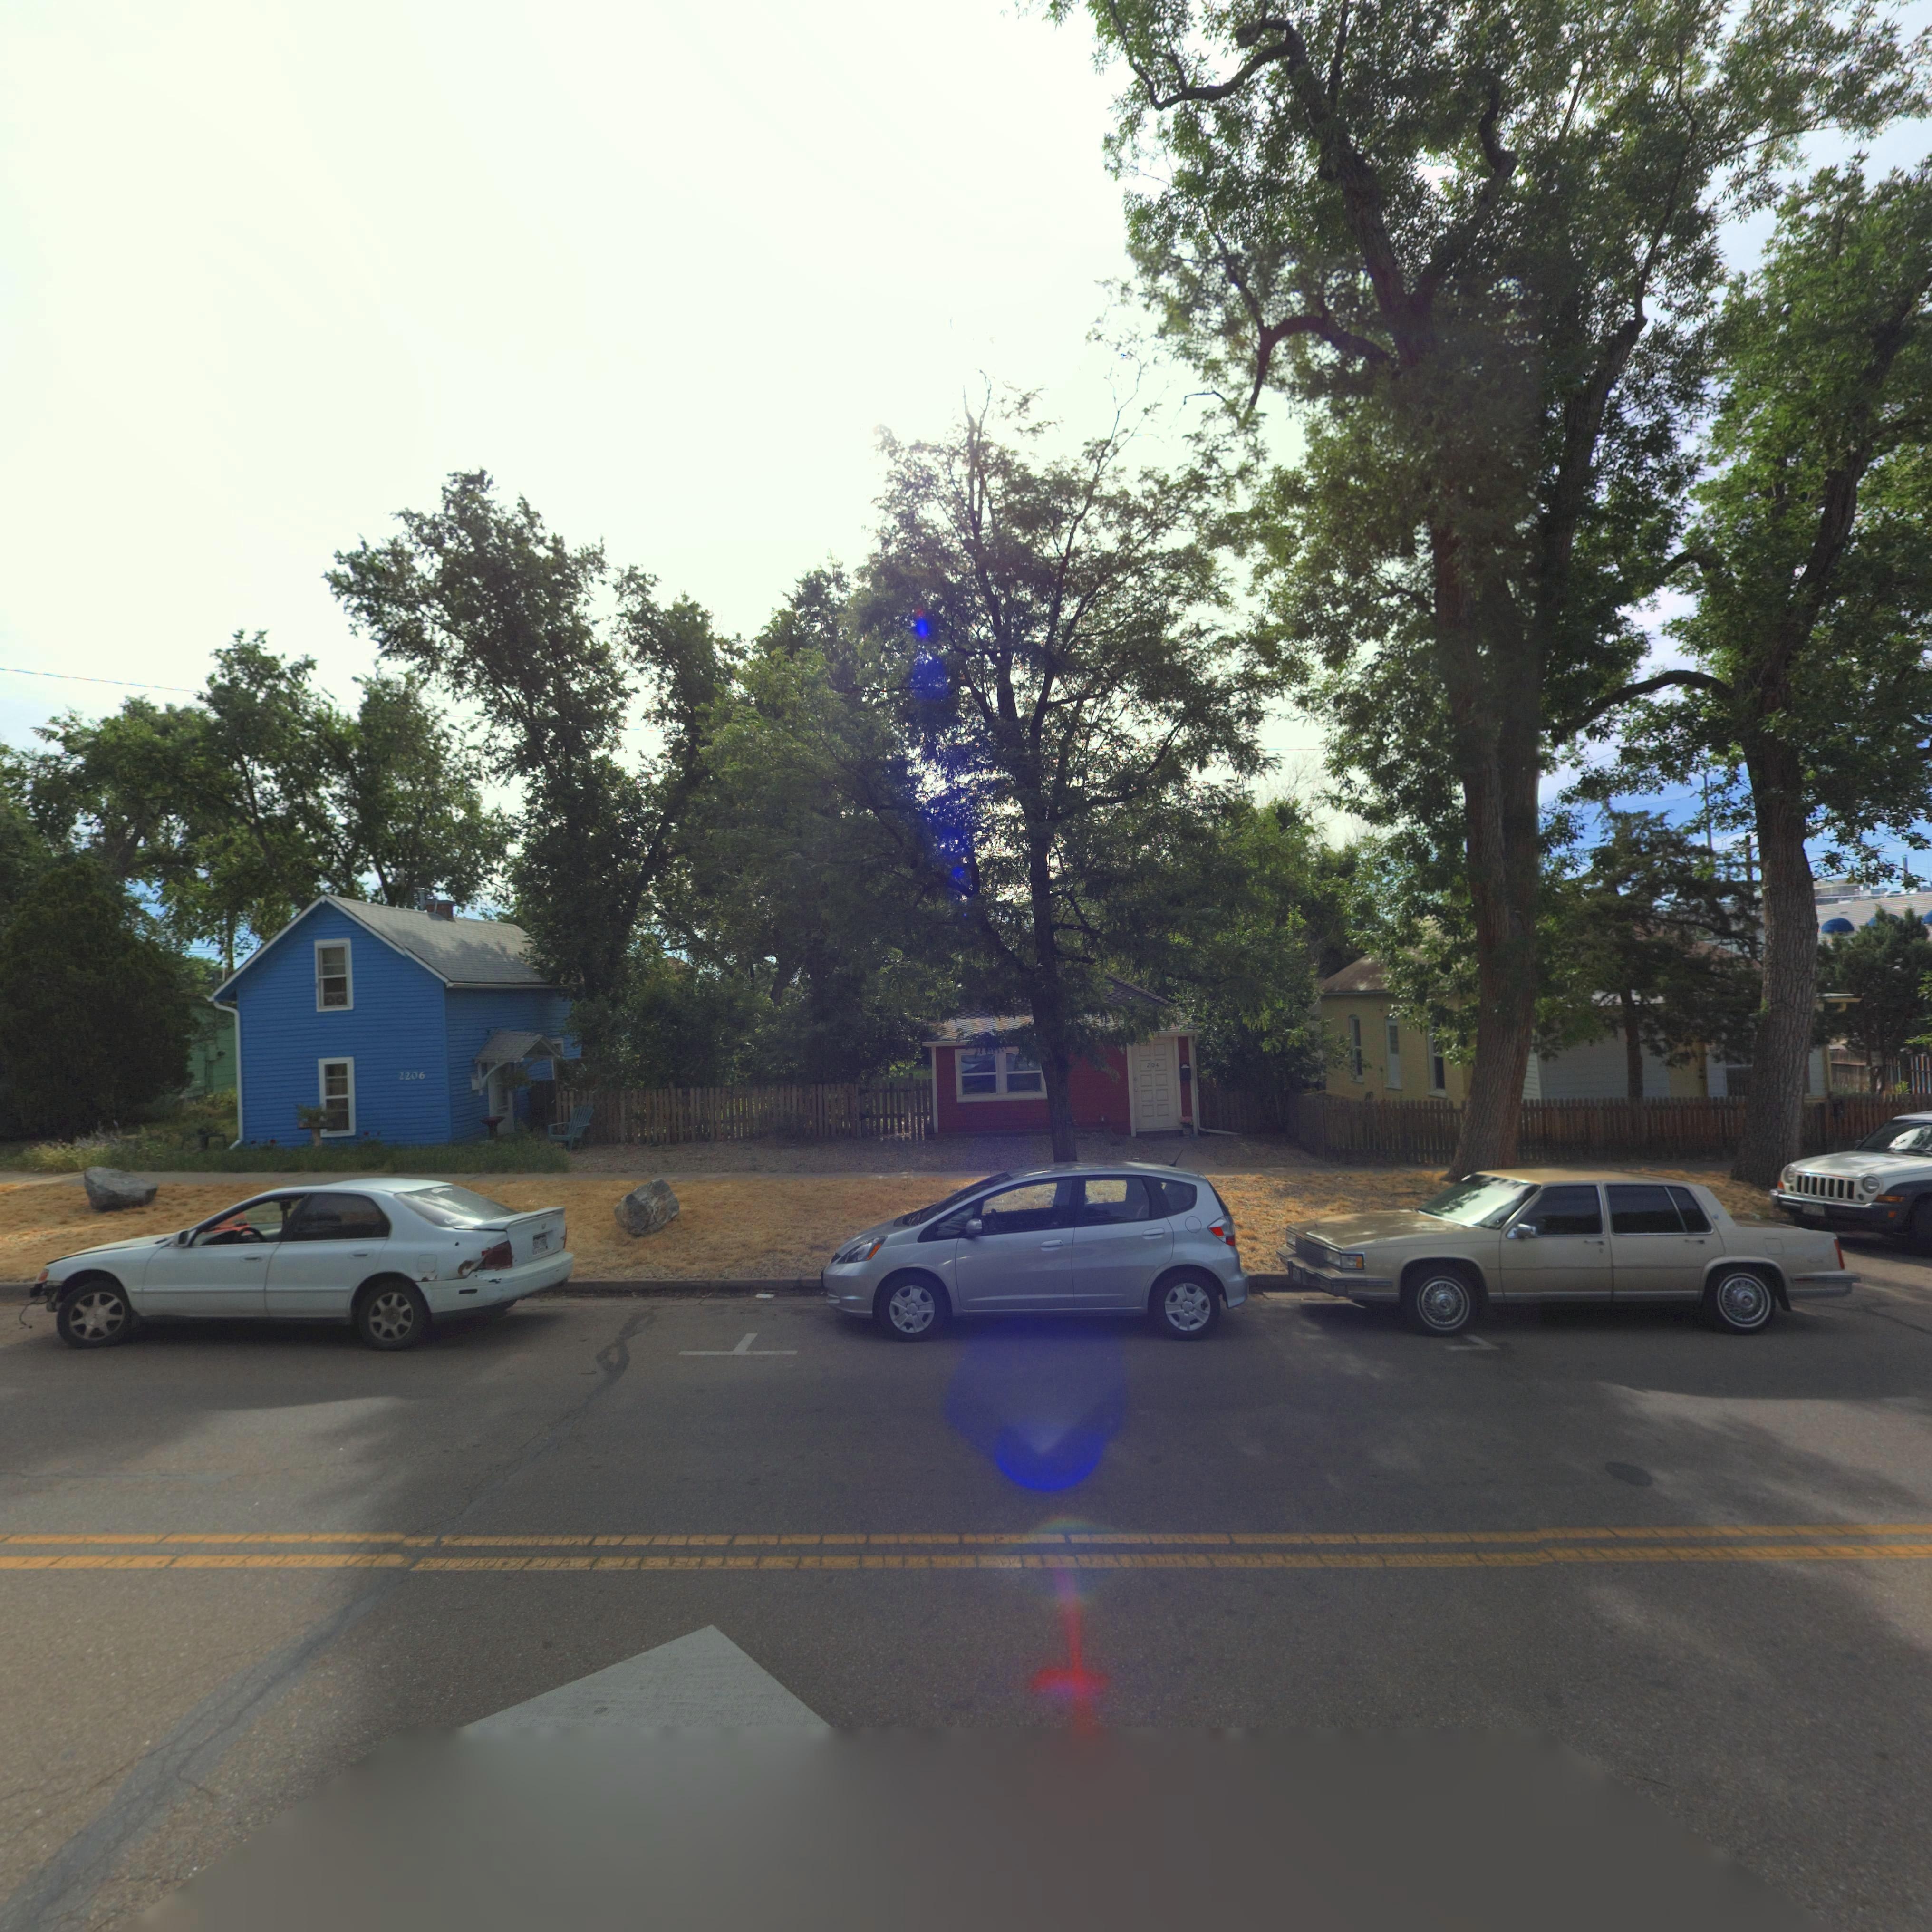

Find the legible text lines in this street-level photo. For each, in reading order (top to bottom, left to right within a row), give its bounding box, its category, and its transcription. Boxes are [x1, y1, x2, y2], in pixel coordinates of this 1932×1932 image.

[1146, 1062, 1159, 1068] StreetNumber: 204
[397, 1071, 426, 1080] StreetNumber: 2206